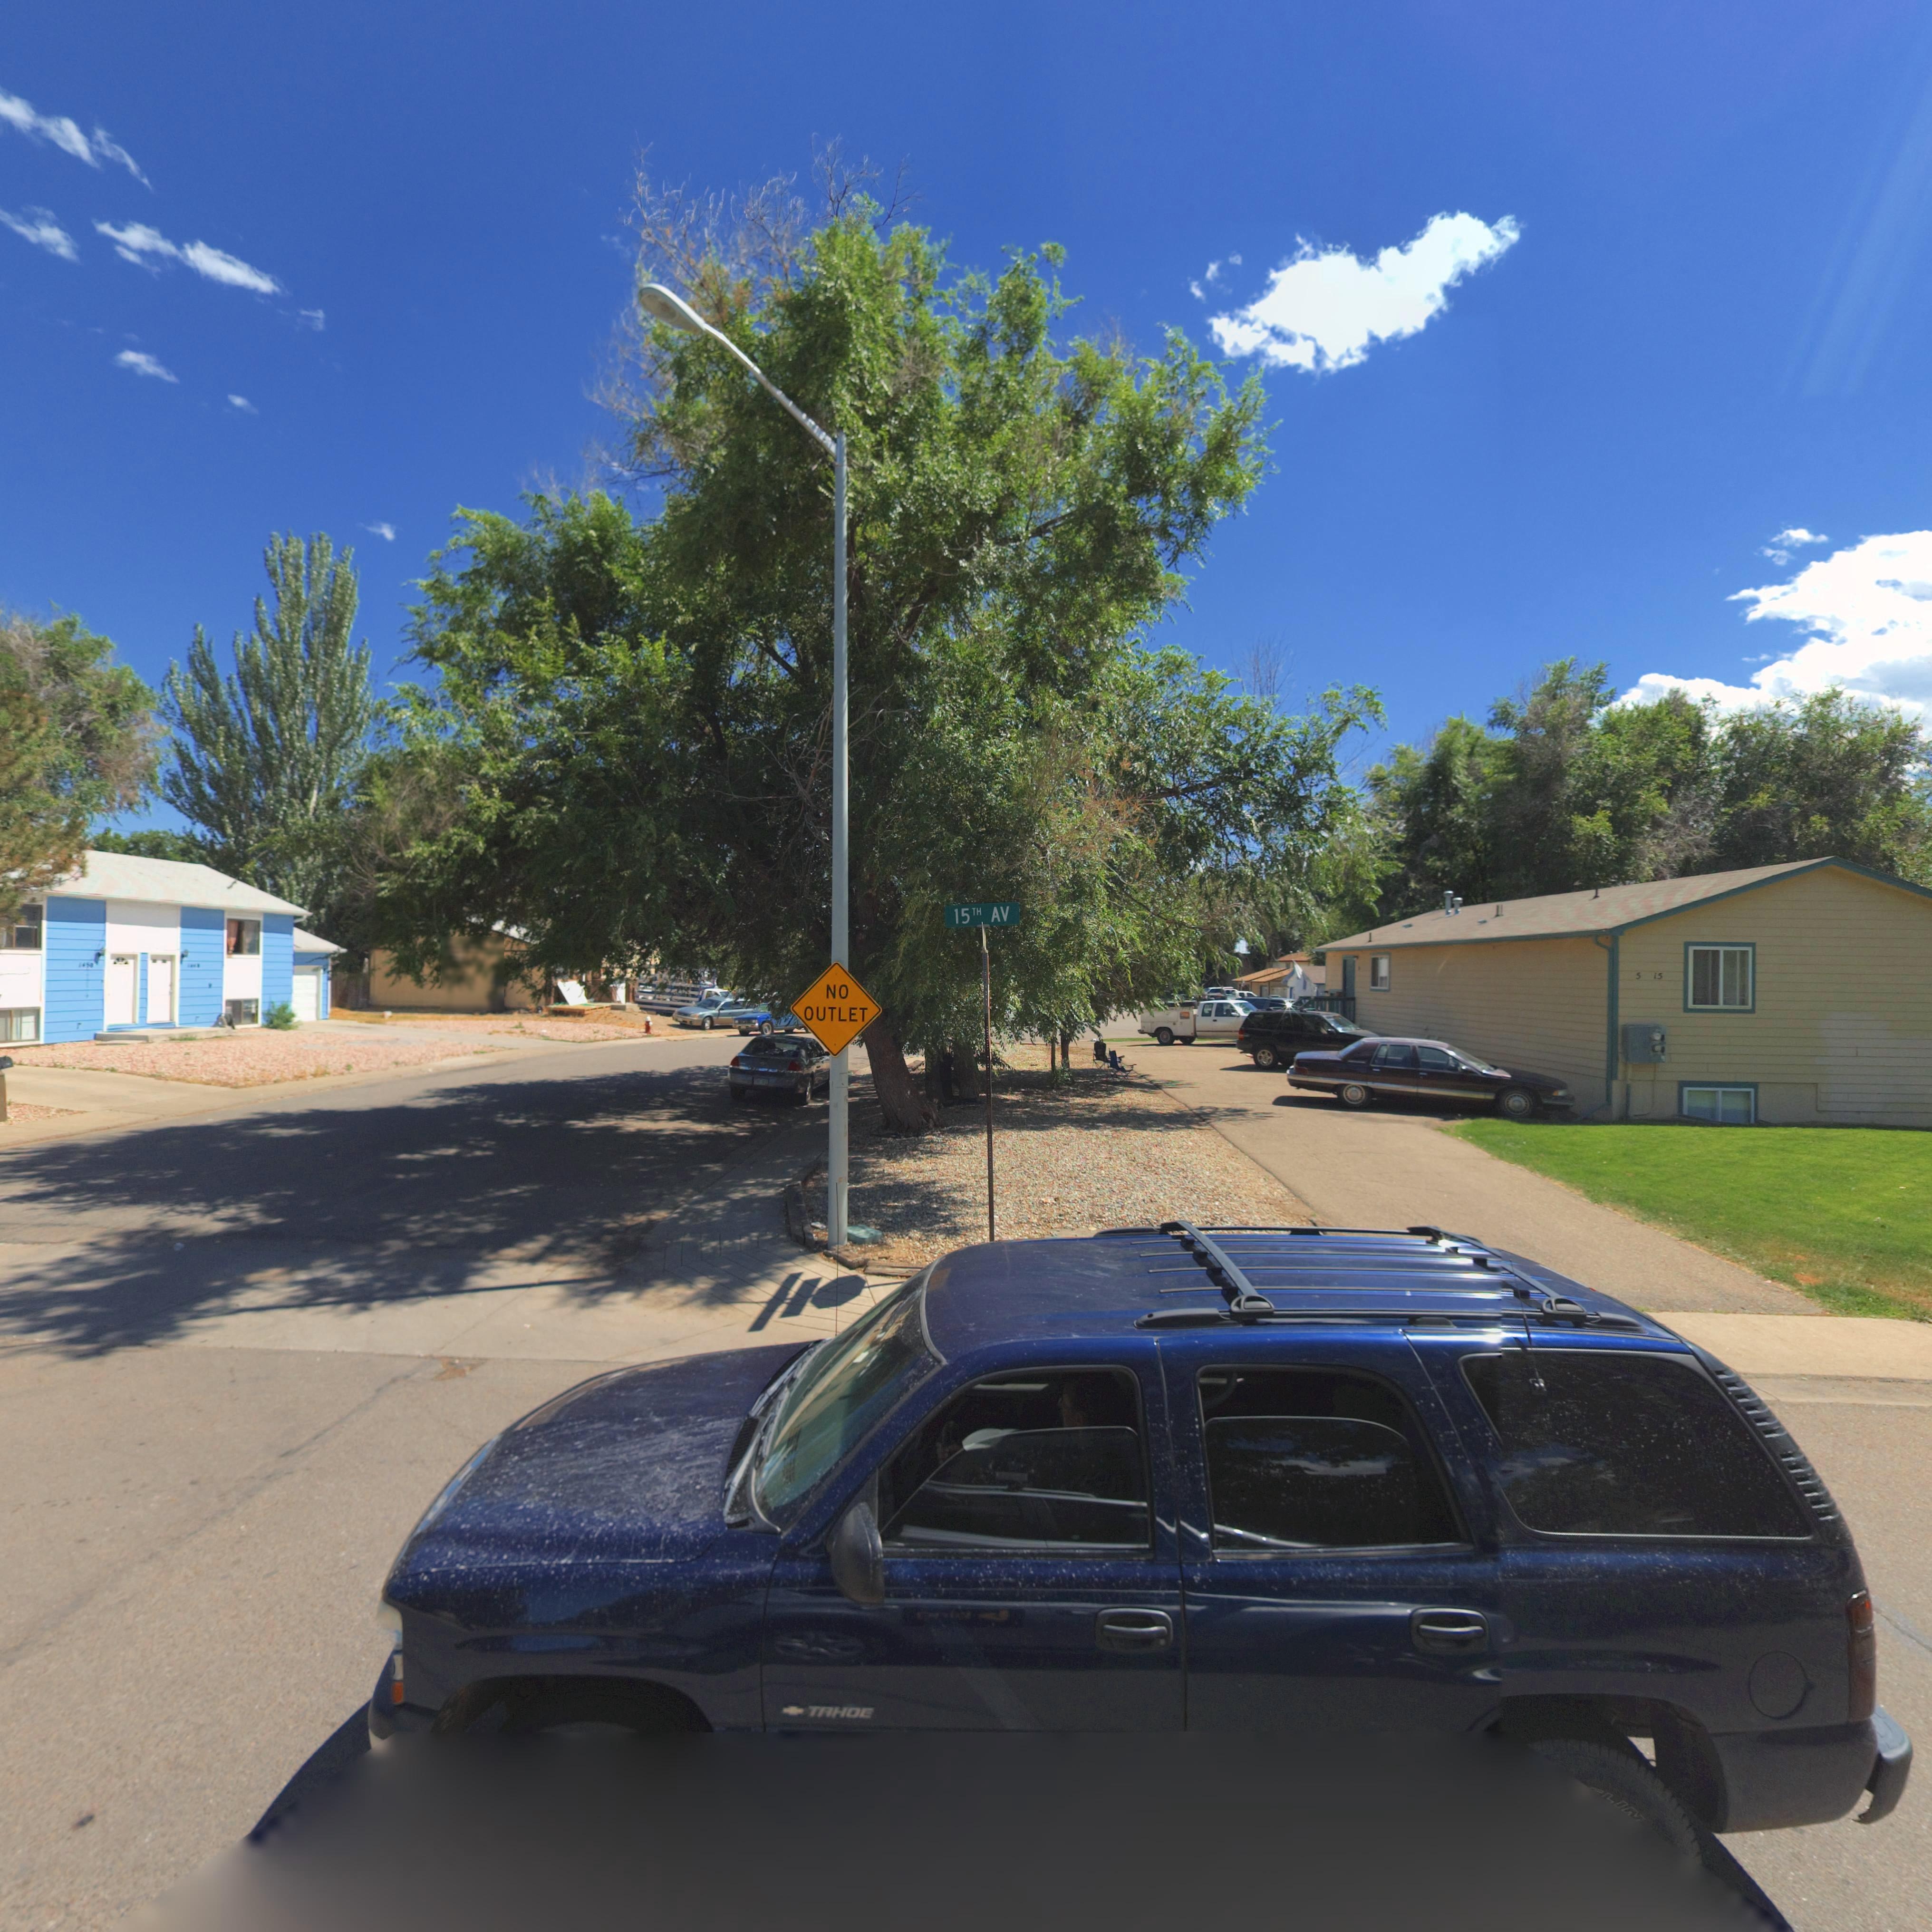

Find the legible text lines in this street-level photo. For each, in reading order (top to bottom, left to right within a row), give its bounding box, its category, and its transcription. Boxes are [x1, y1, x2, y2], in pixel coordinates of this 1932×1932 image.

[953, 905, 1010, 924] StreetName: 15TH AV
[77, 962, 94, 968] StreetNumber: 1*50
[1635, 972, 1641, 979] StreetNumber: 5
[1653, 972, 1662, 980] StreetNumber: 15